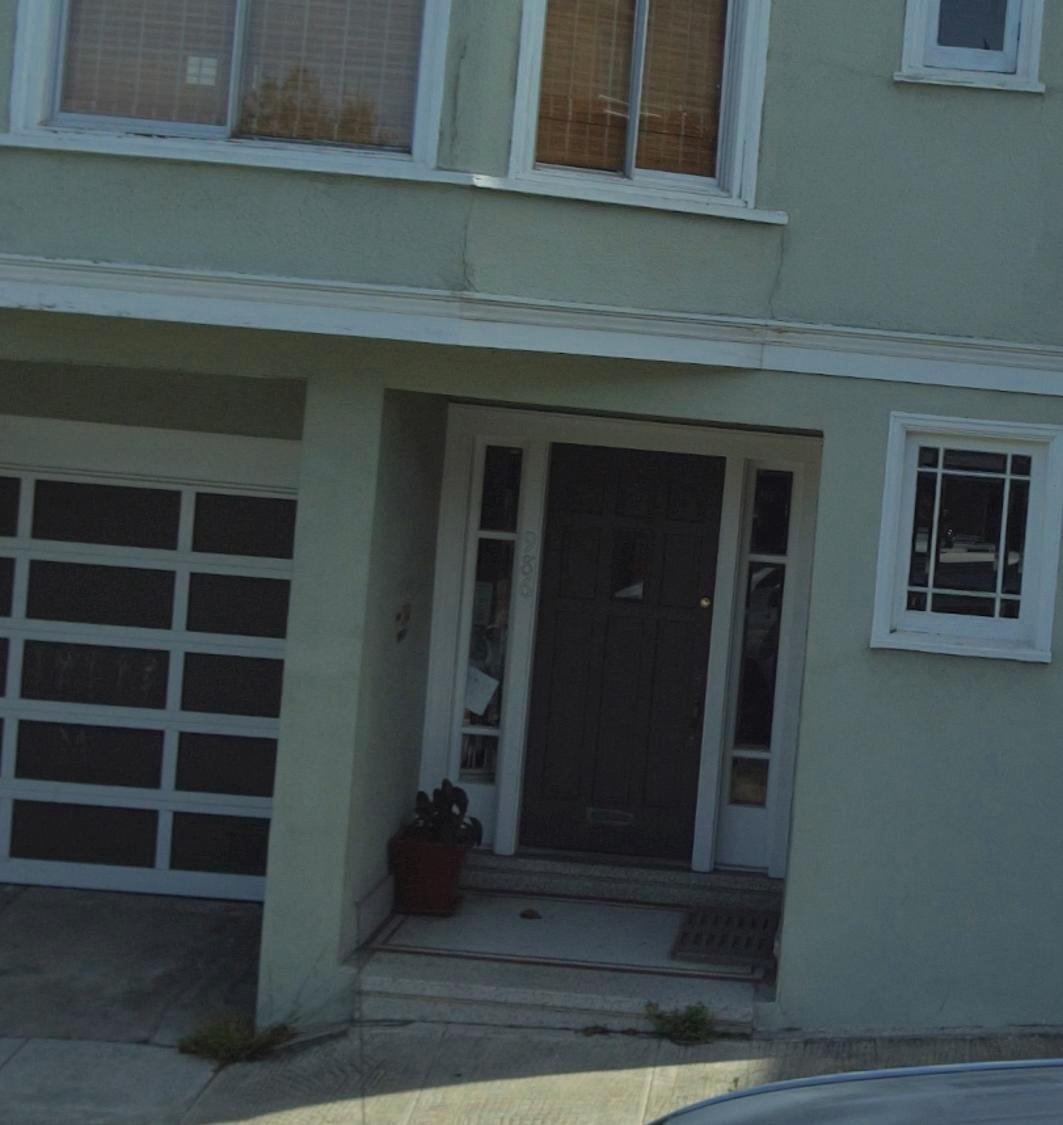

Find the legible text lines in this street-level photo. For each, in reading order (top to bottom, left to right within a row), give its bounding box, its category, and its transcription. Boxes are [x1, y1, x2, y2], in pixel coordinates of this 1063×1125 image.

[513, 525, 543, 602] StreetNumber: 986